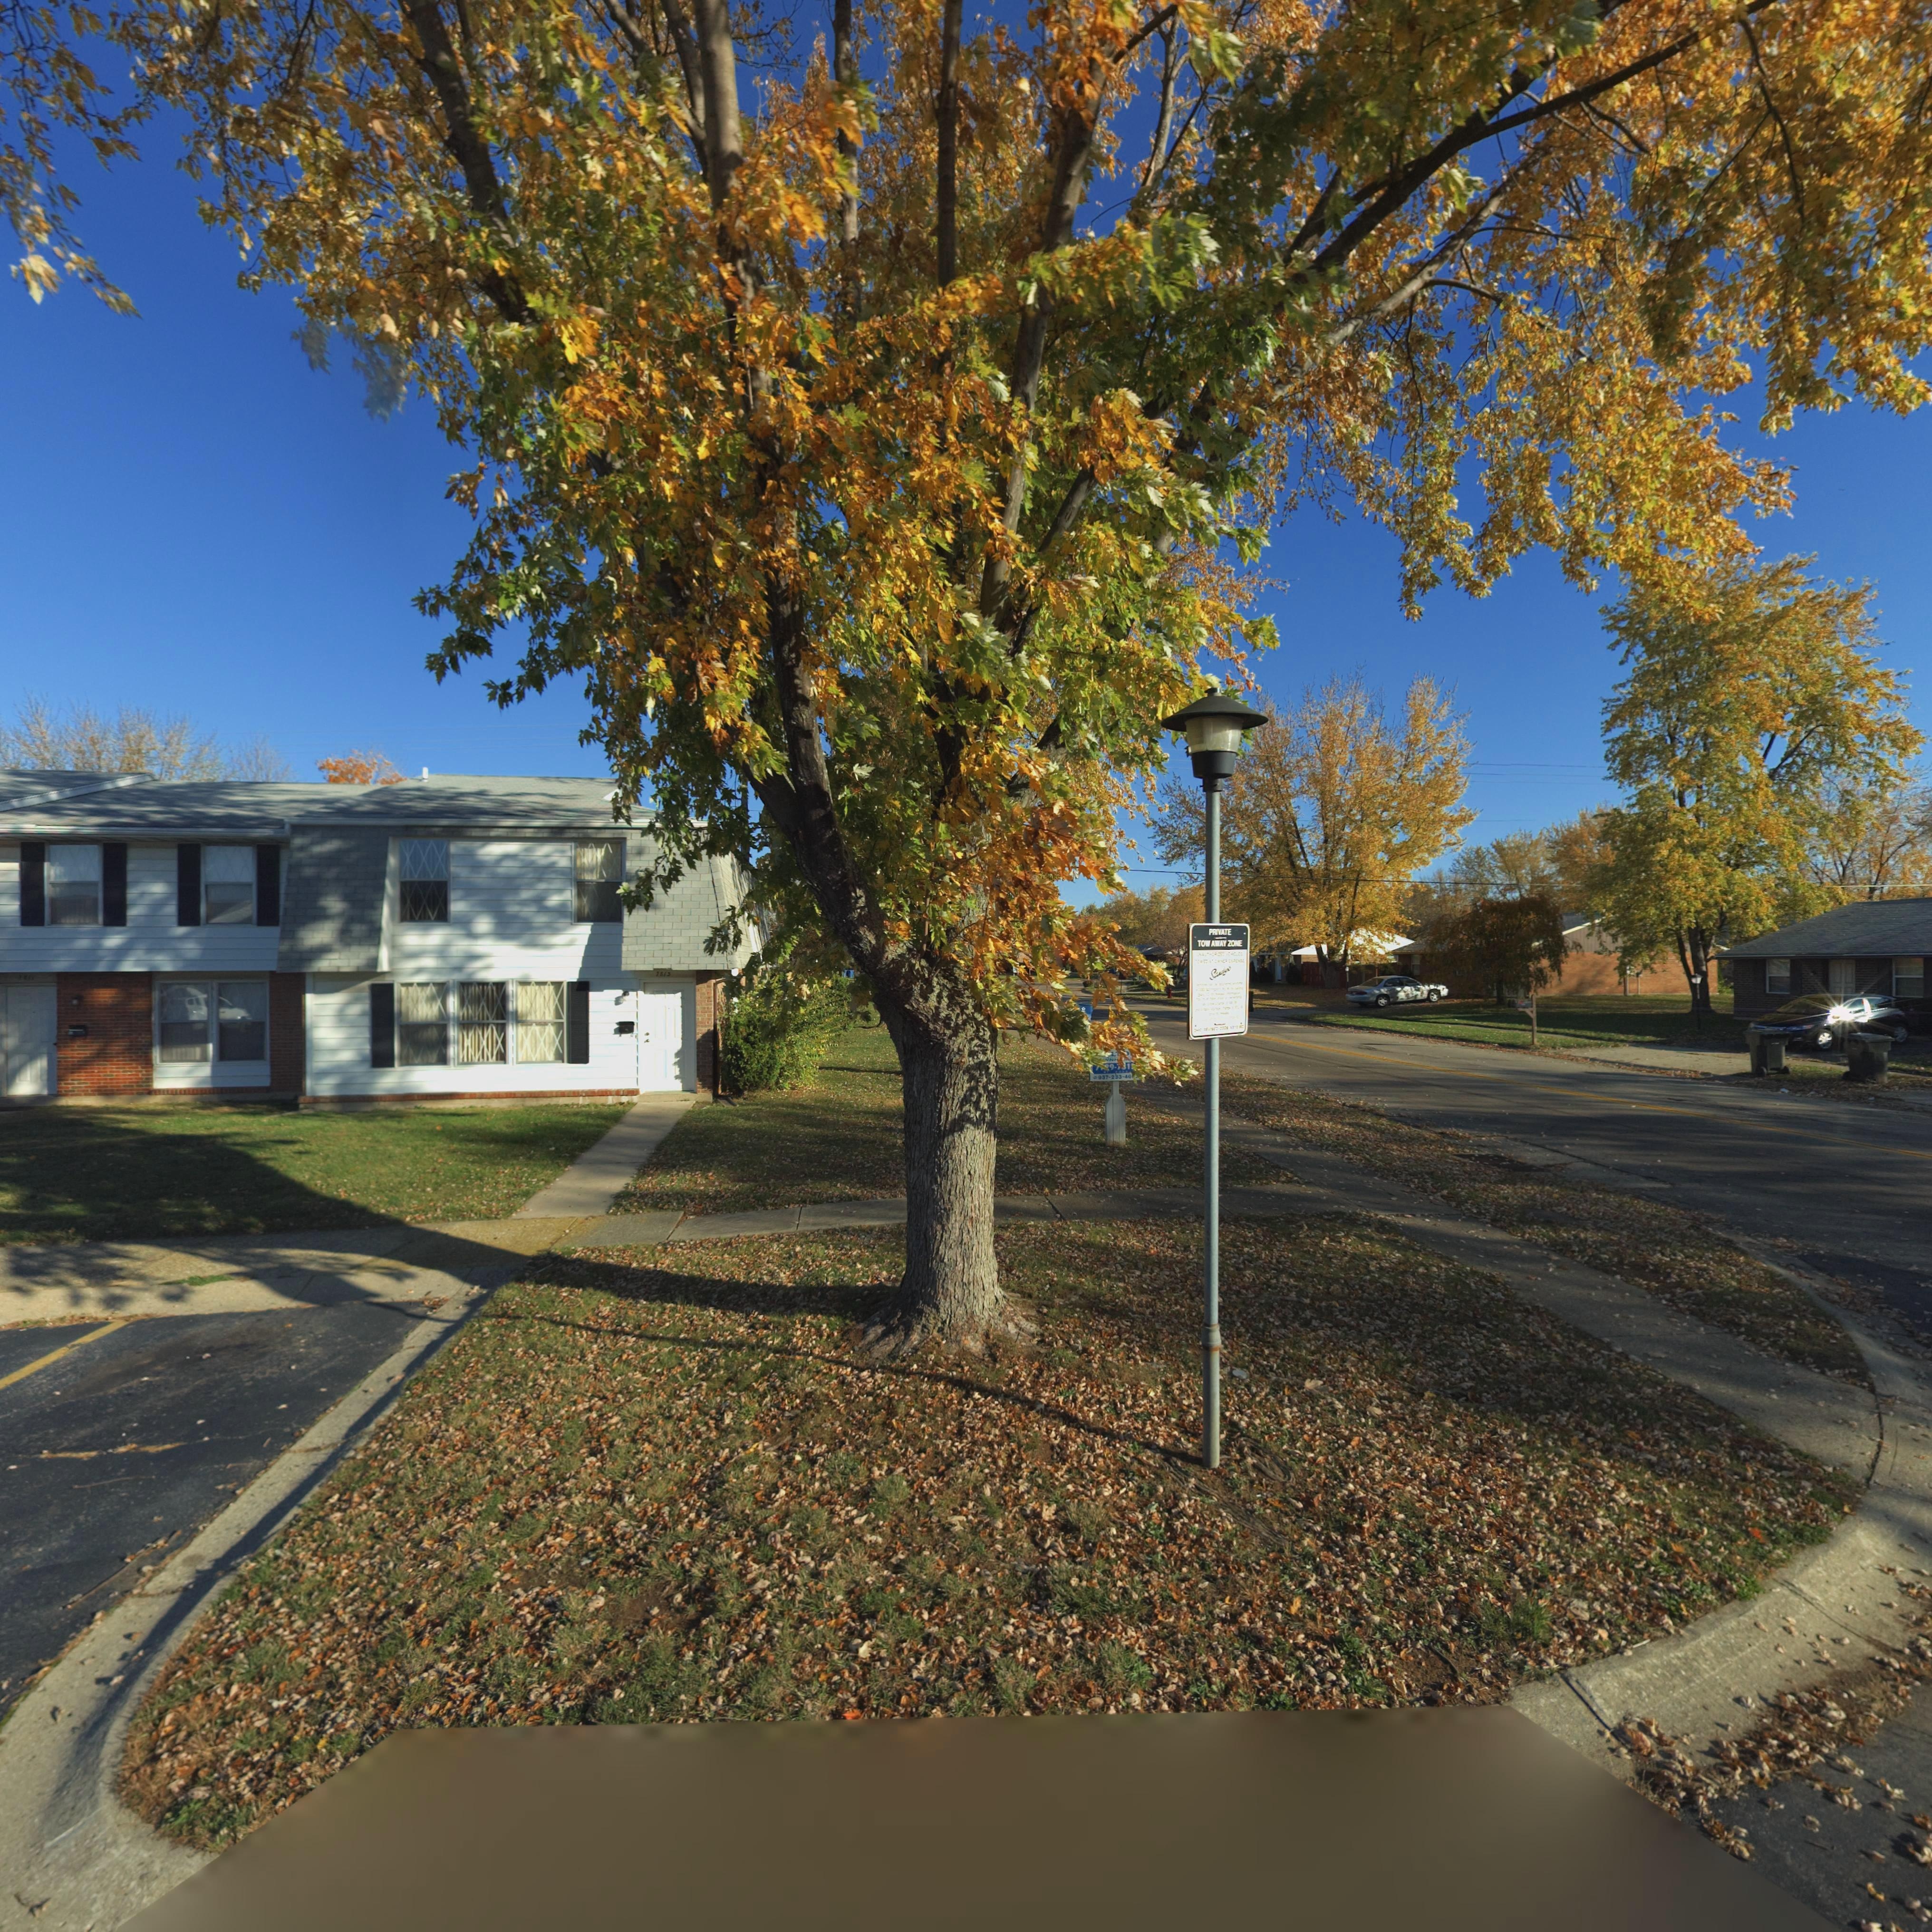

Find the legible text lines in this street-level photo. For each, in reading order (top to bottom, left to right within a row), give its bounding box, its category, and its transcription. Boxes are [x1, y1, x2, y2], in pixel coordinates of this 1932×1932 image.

[656, 971, 671, 977] StreetNumber: 7813
[17, 974, 35, 981] StreetNumber: 781*